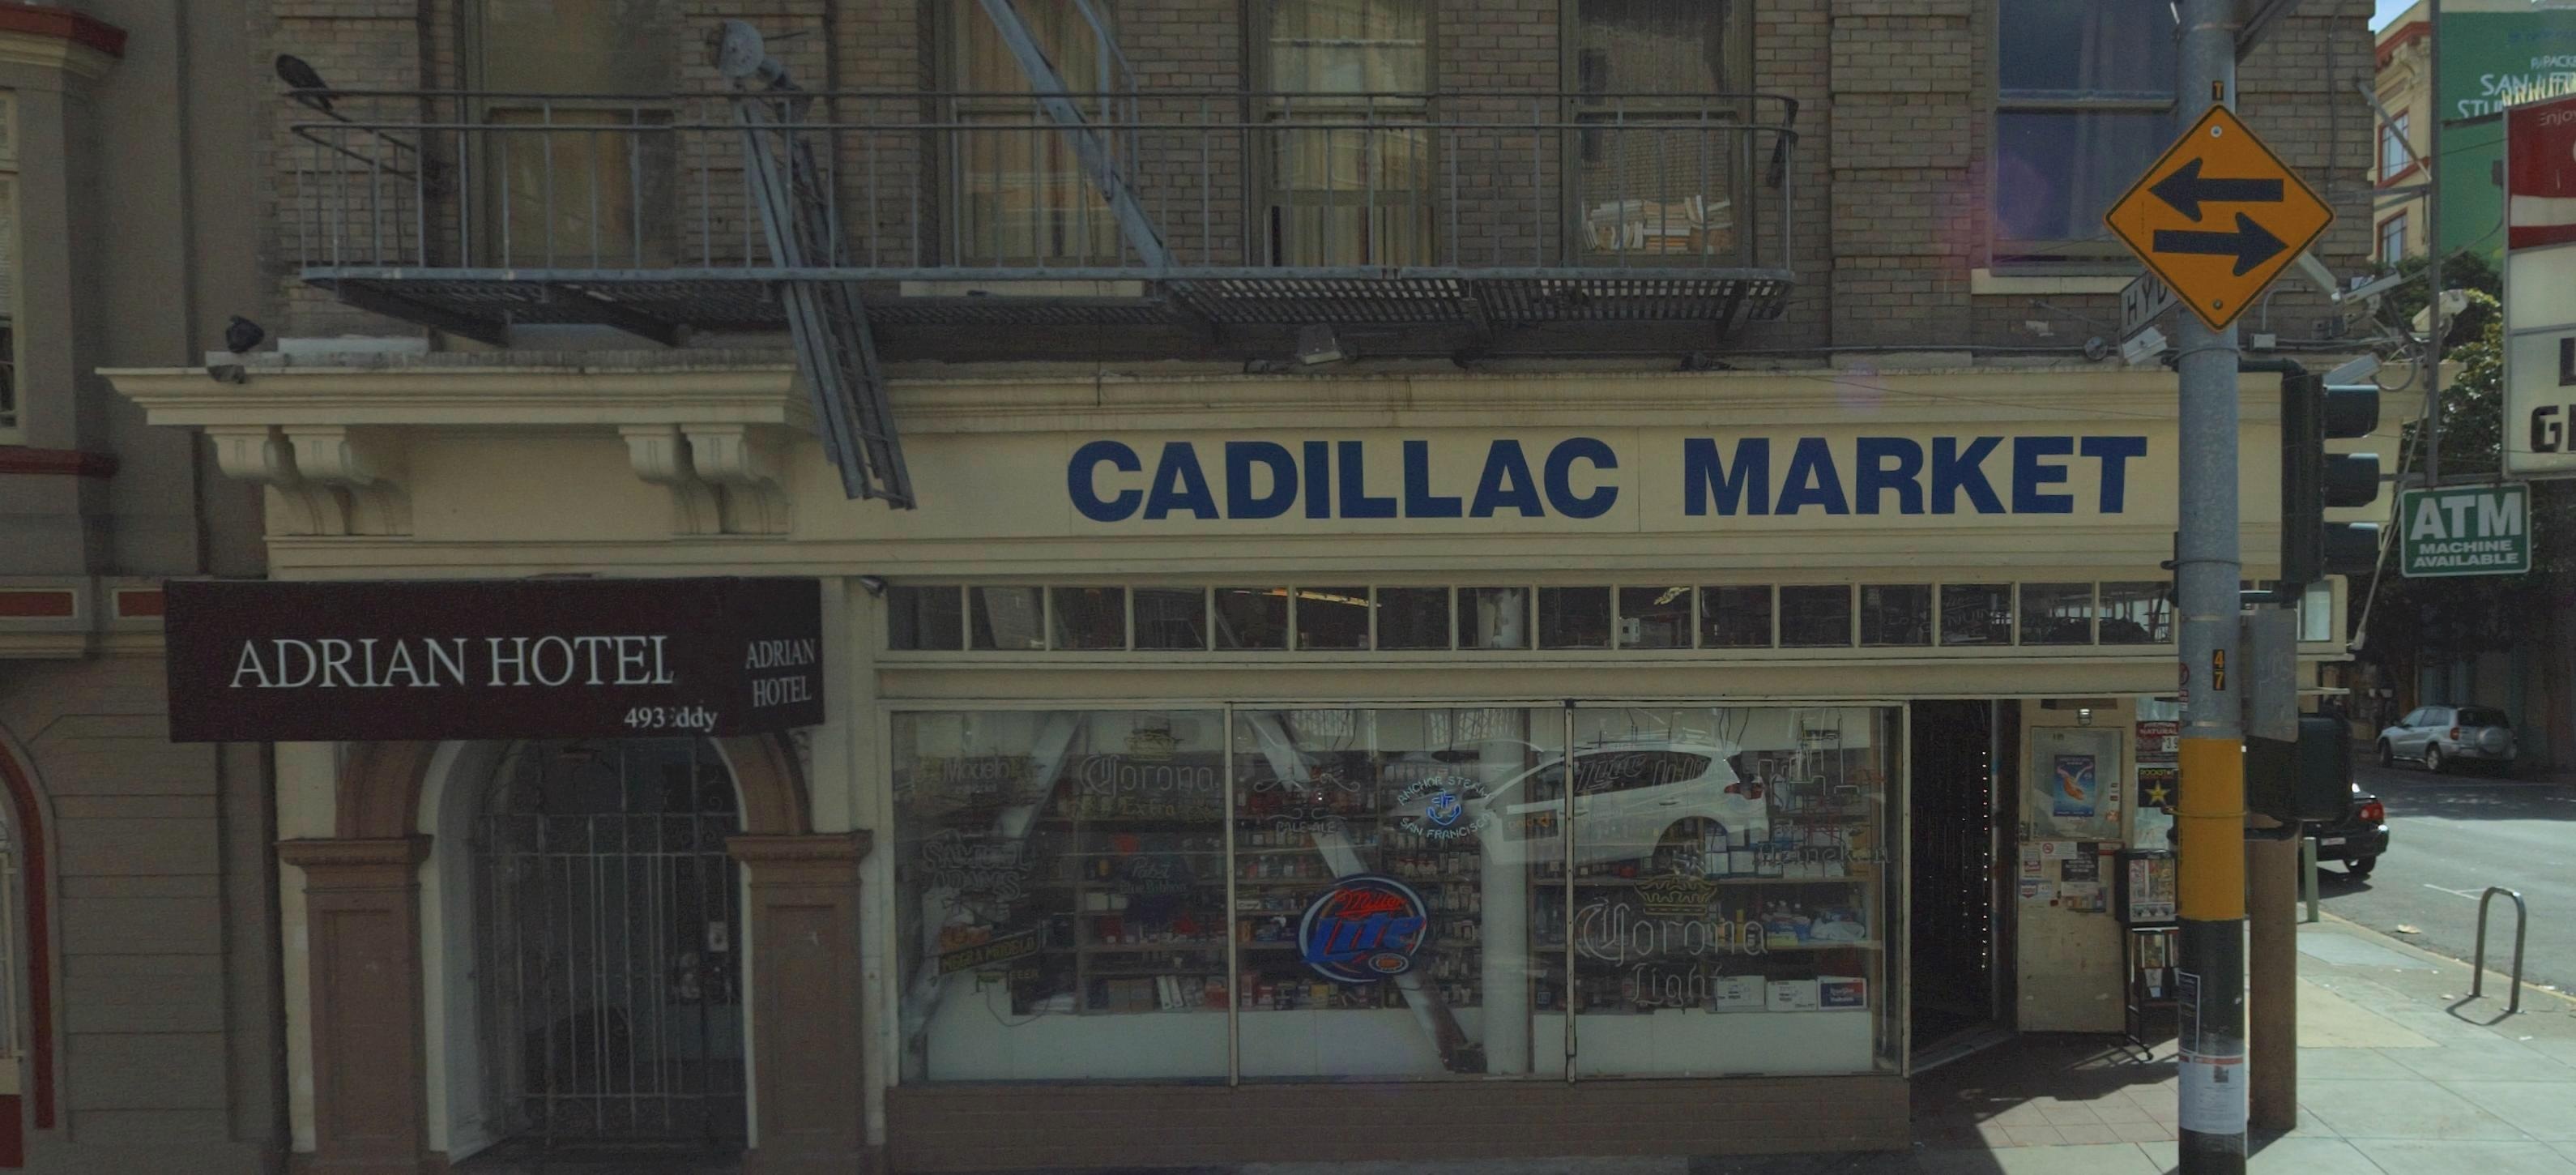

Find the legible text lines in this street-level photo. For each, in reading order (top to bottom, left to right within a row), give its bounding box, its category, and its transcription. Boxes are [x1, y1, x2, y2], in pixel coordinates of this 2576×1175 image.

[2527, 52, 2568, 74] None: P**AC
[2211, 79, 2225, 101] None: T
[2478, 70, 2514, 99] None: SA
[2125, 269, 2155, 332] StreetName: HY
[2525, 401, 2565, 456] None: G
[1058, 432, 2150, 527] BusinessName: CADILLAC MARKET
[2404, 488, 2525, 543] None: ATM
[2410, 549, 2522, 570] None: AVAILABLE
[2417, 536, 2515, 557] None: MACHINE
[224, 632, 679, 692] BusinessName: ADRIAN HOTEL
[740, 633, 819, 673] BusinessName: ADRIAN
[2210, 645, 2228, 692] None: 47
[748, 670, 817, 713] BusinessName: HOTEL
[617, 703, 669, 731] StreetNumber: 493
[673, 702, 723, 737] StreetName: ddy
[939, 749, 1014, 788] None: Modelo
[1074, 750, 1217, 804] None: *orona
[1119, 793, 1179, 818] None: Extra
[1391, 772, 1495, 809] None: ANCHOR STE*M
[1569, 752, 1648, 797] None: Lite
[1273, 819, 1338, 837] None: PALE ALE
[1397, 810, 1494, 843] None: SAN FRANCISCO
[915, 838, 1037, 878] None: SAMU*L
[1128, 852, 1160, 881] None: Pab
[1803, 839, 1856, 866] None: nek
[923, 868, 1026, 904] None: *DAMS
[1339, 890, 1410, 912] None: Miller
[957, 931, 1040, 971] None: GRA MODELO
[1297, 910, 1427, 967] None: Lite
[1566, 897, 1776, 976] None: *orona
[1007, 966, 1043, 983] None: *EE*
[1629, 959, 1729, 1010] None: Light